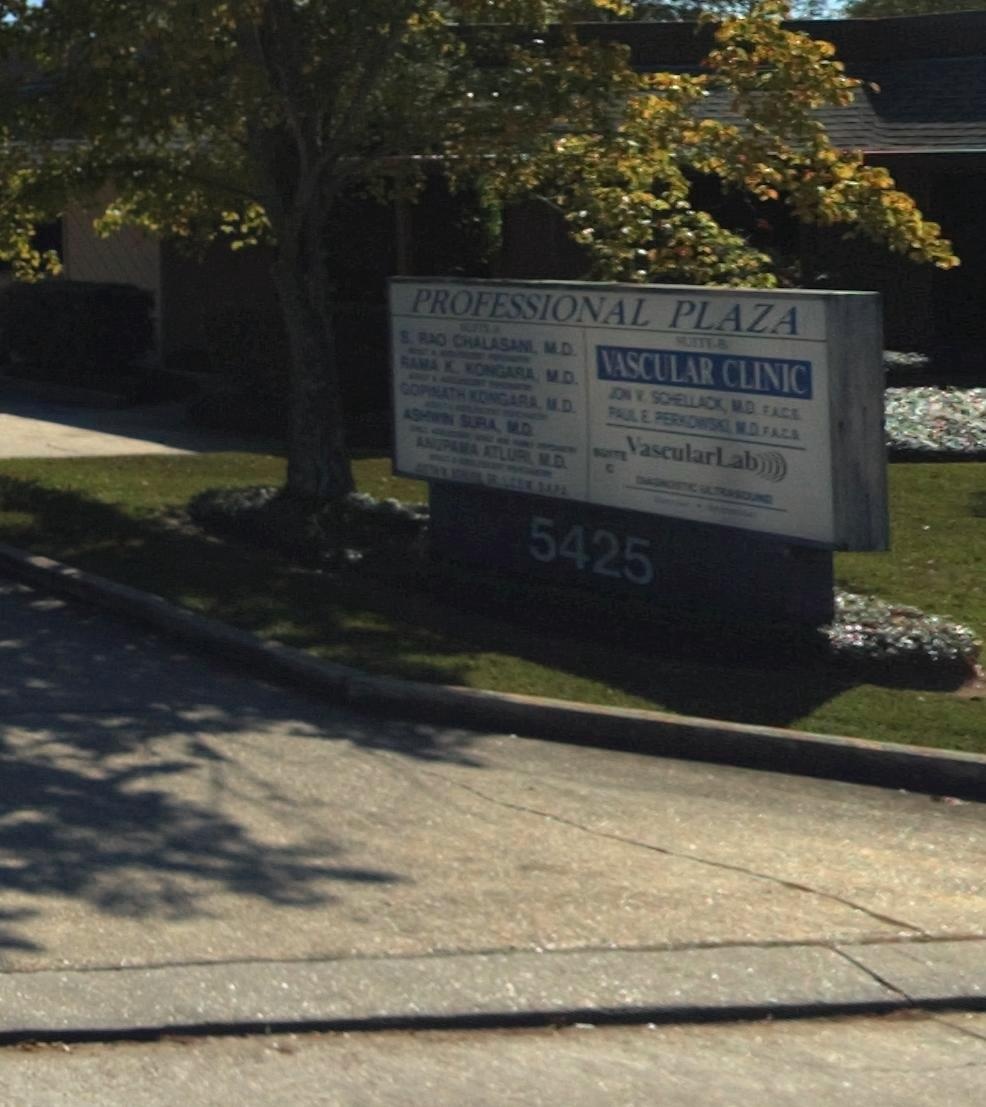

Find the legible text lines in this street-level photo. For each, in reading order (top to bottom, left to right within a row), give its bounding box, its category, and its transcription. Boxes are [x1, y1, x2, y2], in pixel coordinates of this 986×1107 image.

[404, 281, 803, 339] None: PROFESSIONAL PLAZA
[398, 327, 580, 360] None: S. RAD CRALASAN, M.D.
[672, 333, 733, 353] SecondaryUnitDesignator: SUITE B
[397, 352, 582, 390] None: RAMA K. KONGARA, M.D.
[596, 346, 811, 398] BusinessName: VASCULAR CLINIC
[465, 385, 578, 418] None: KONGARA, M.D.
[602, 382, 758, 417] None: JON V. SCHELLACK, MD
[399, 404, 539, 441] None: ASHWIN SURA, M.D.
[605, 402, 764, 440] None: PAUL E. PERKOWSKI MD
[480, 441, 570, 473] None: ATLUR* M.D.
[620, 431, 762, 474] None: VascularLab
[525, 511, 656, 591] StreetNumber: 5425